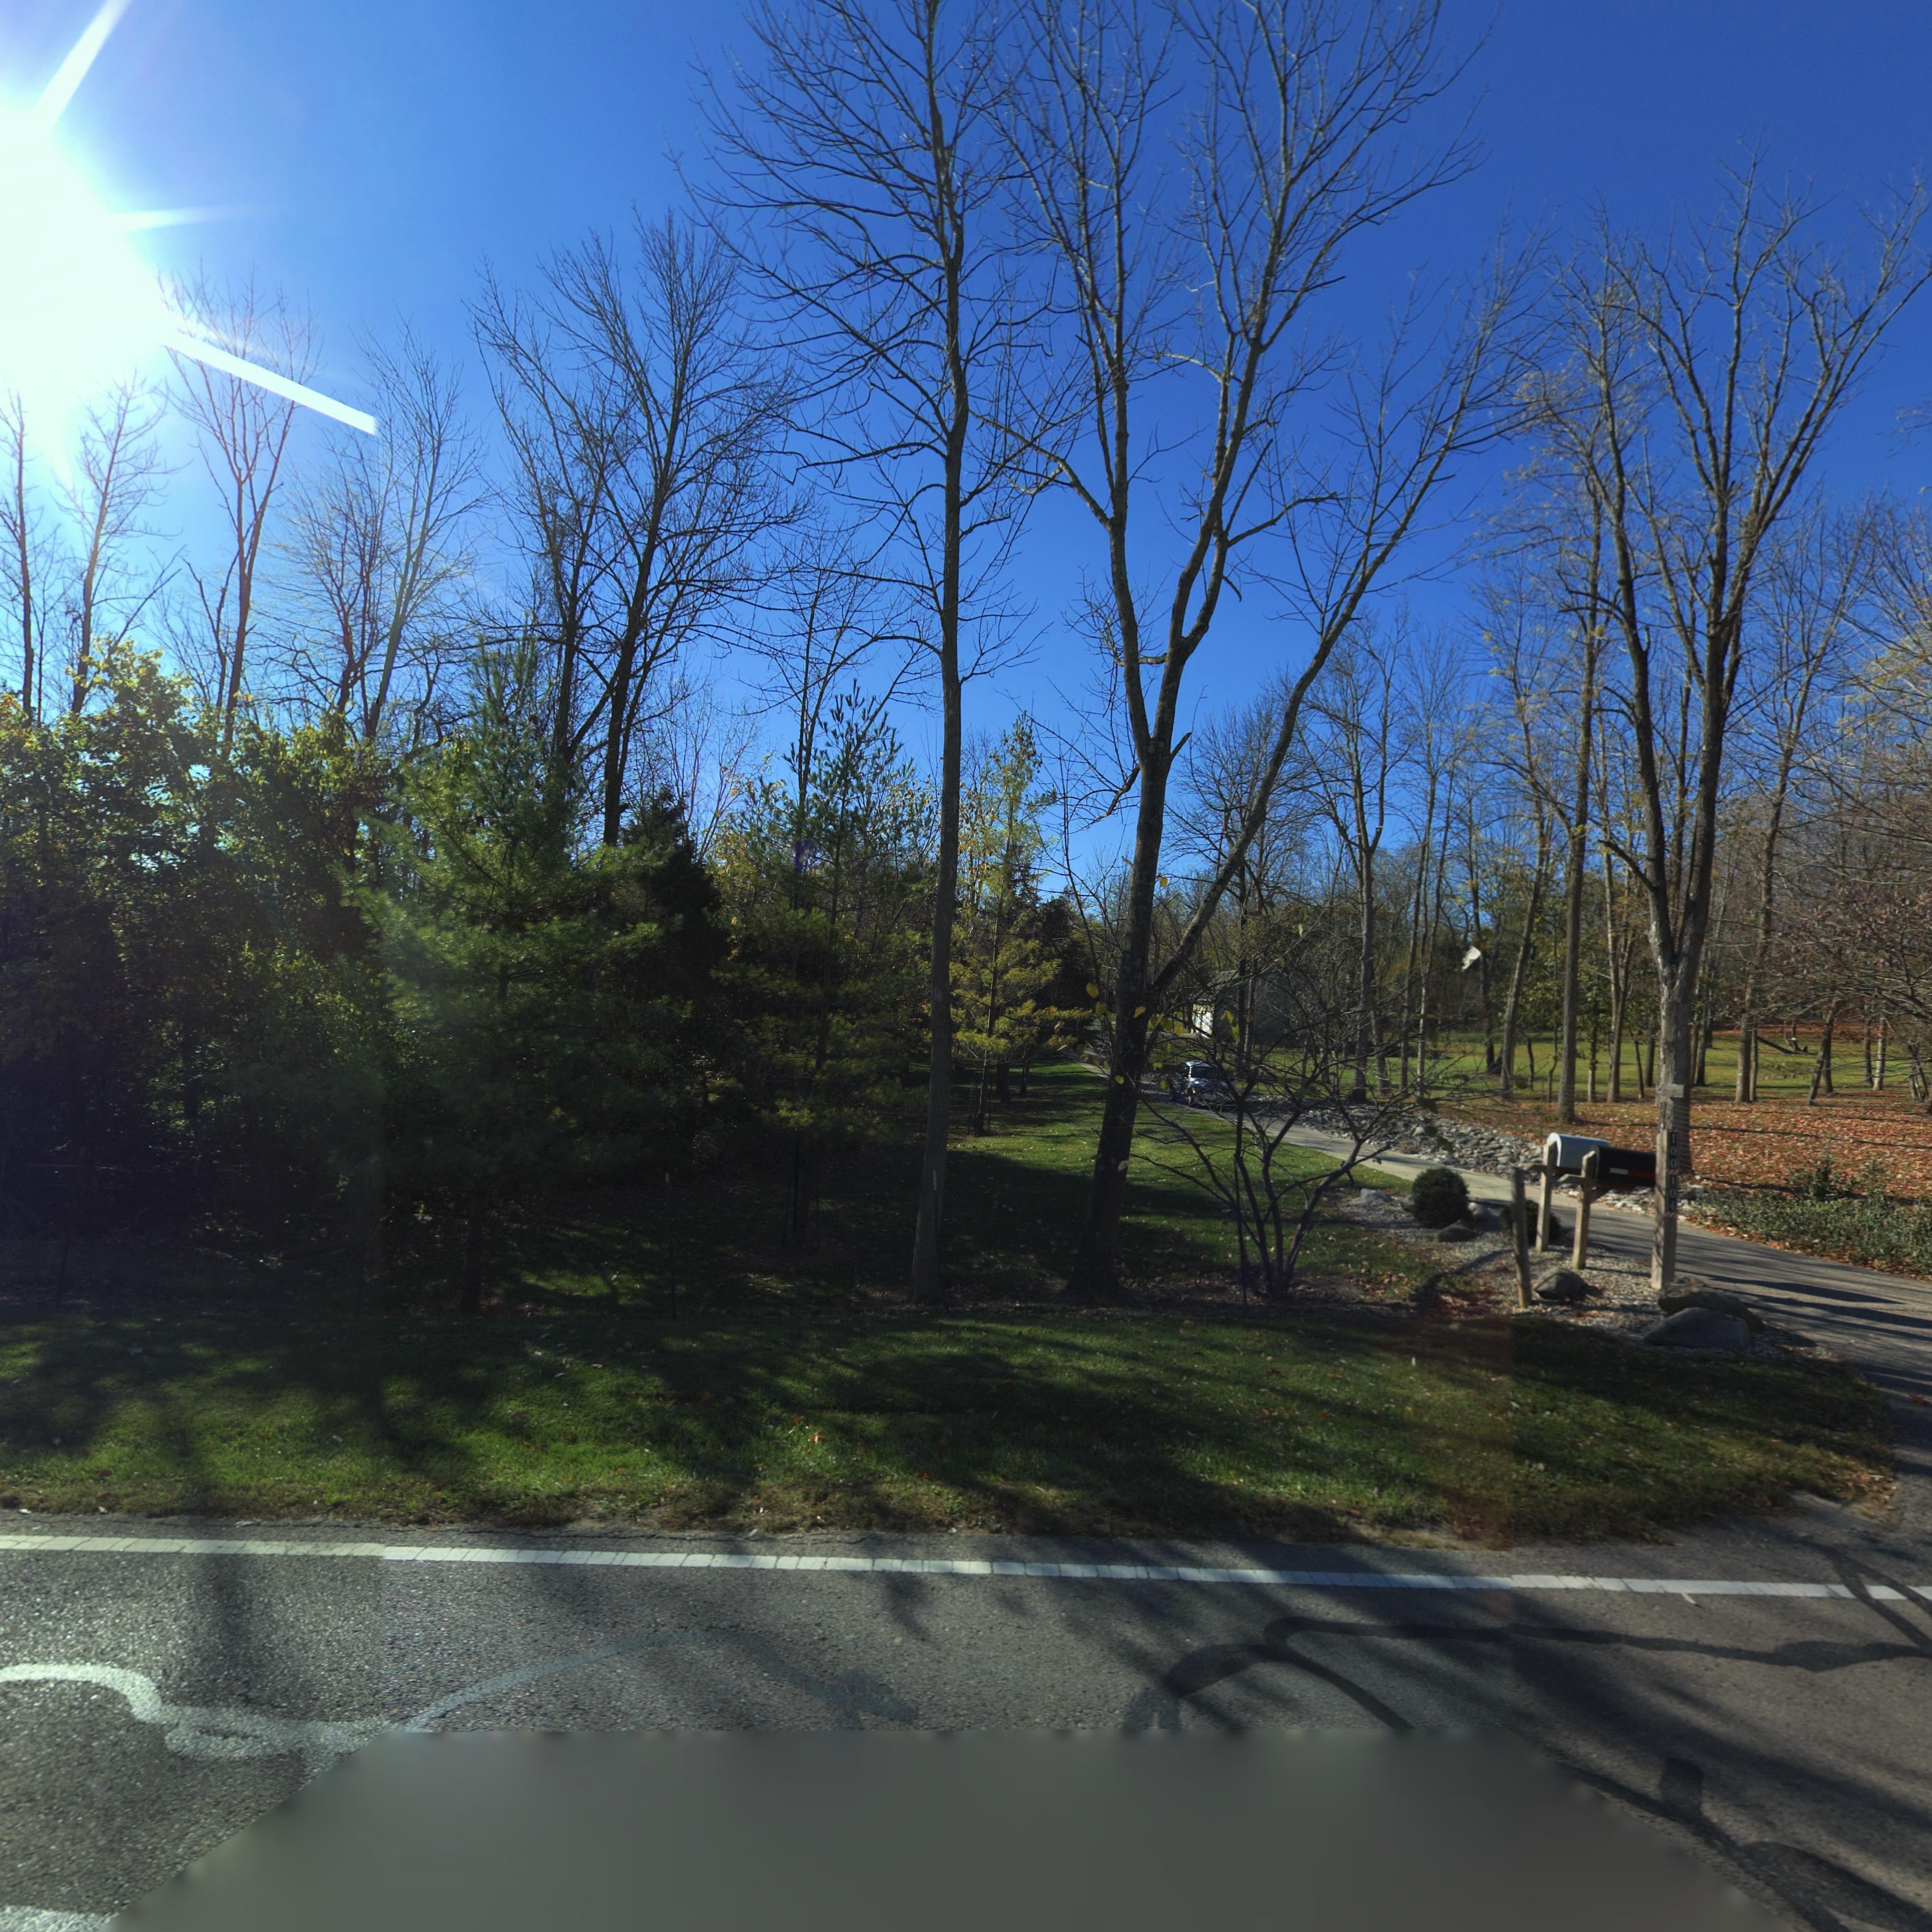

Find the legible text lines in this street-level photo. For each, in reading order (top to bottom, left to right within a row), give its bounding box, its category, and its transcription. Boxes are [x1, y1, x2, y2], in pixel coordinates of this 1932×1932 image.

[1670, 1133, 1678, 1169] StreetNumber: 100
[1668, 1176, 1677, 1211] StreetNumber: 104